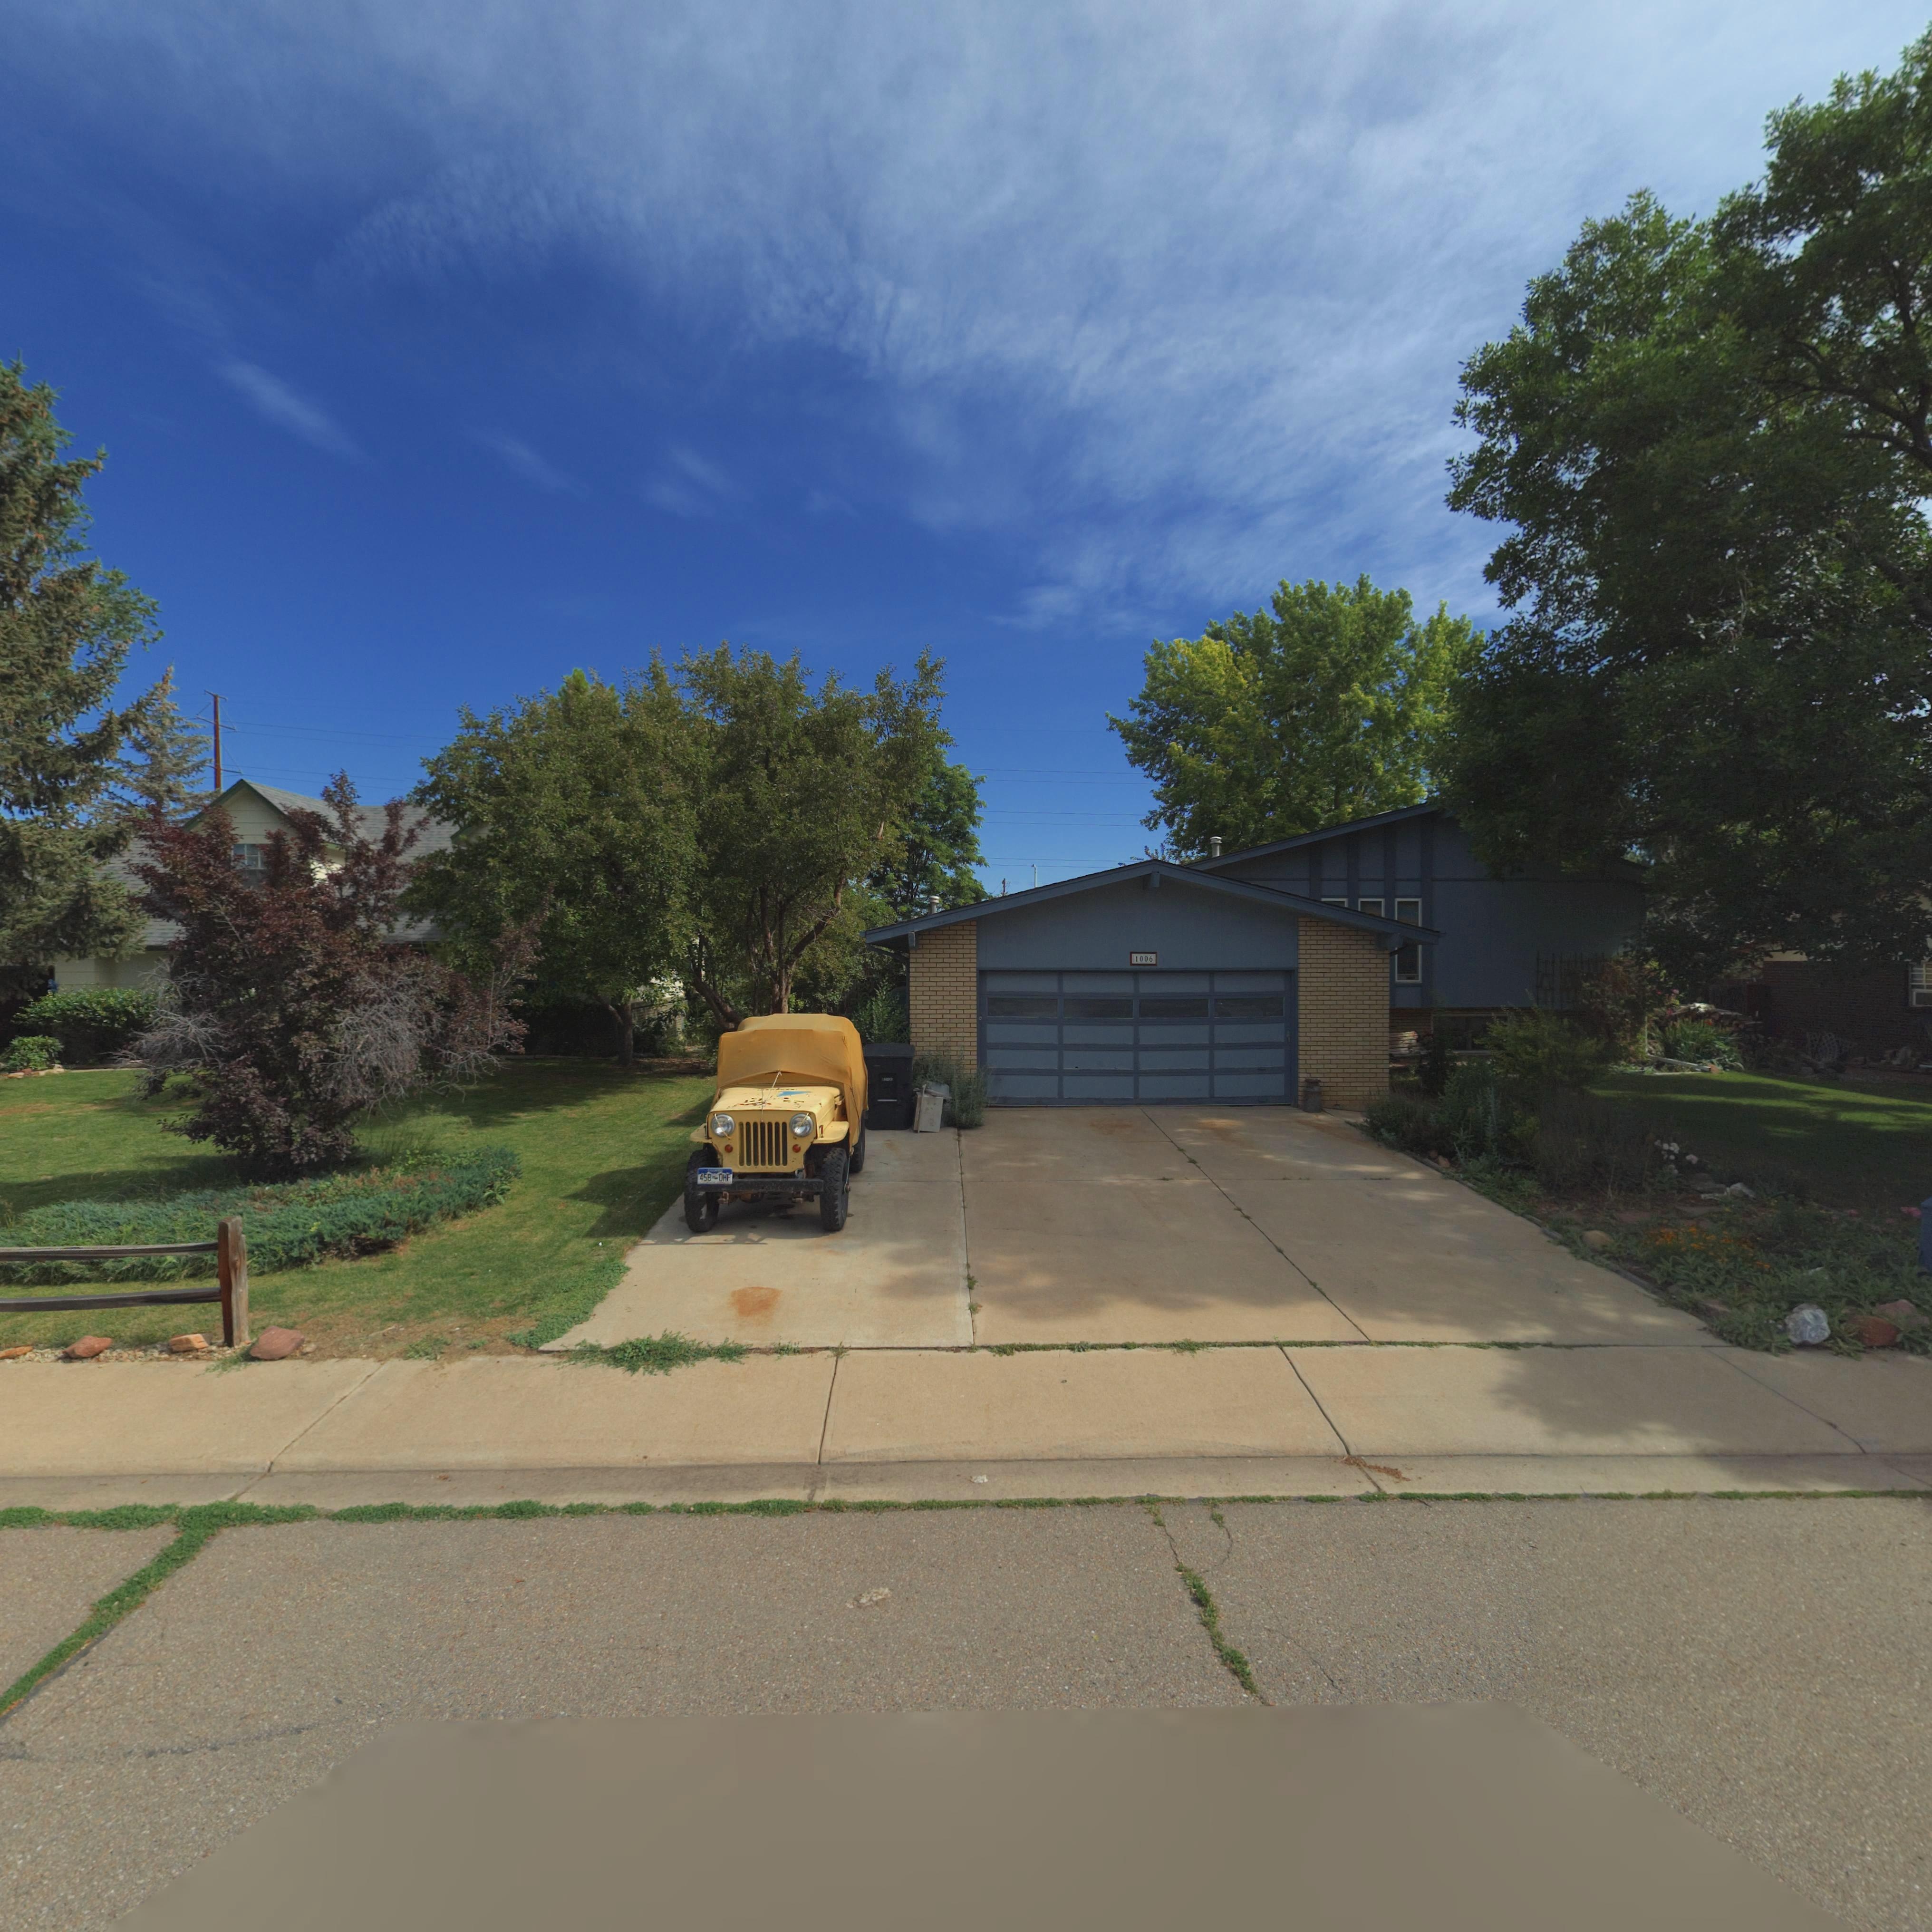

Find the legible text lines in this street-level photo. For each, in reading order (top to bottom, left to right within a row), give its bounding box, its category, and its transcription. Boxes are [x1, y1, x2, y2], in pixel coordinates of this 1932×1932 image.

[1135, 955, 1152, 962] StreetNumber: 1006